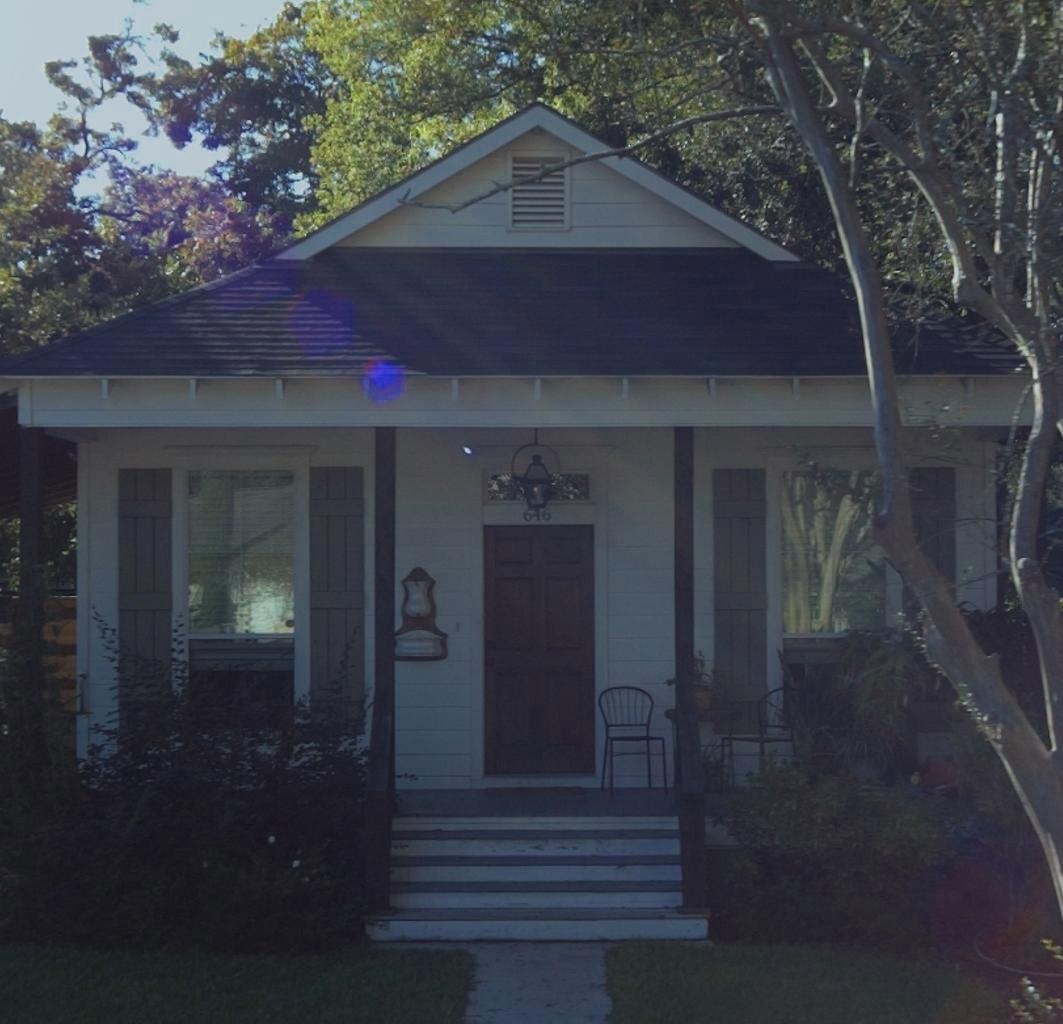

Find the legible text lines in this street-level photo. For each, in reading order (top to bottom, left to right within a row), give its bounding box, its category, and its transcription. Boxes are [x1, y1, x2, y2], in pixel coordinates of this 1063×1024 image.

[522, 506, 553, 523] StreetNumber: 646